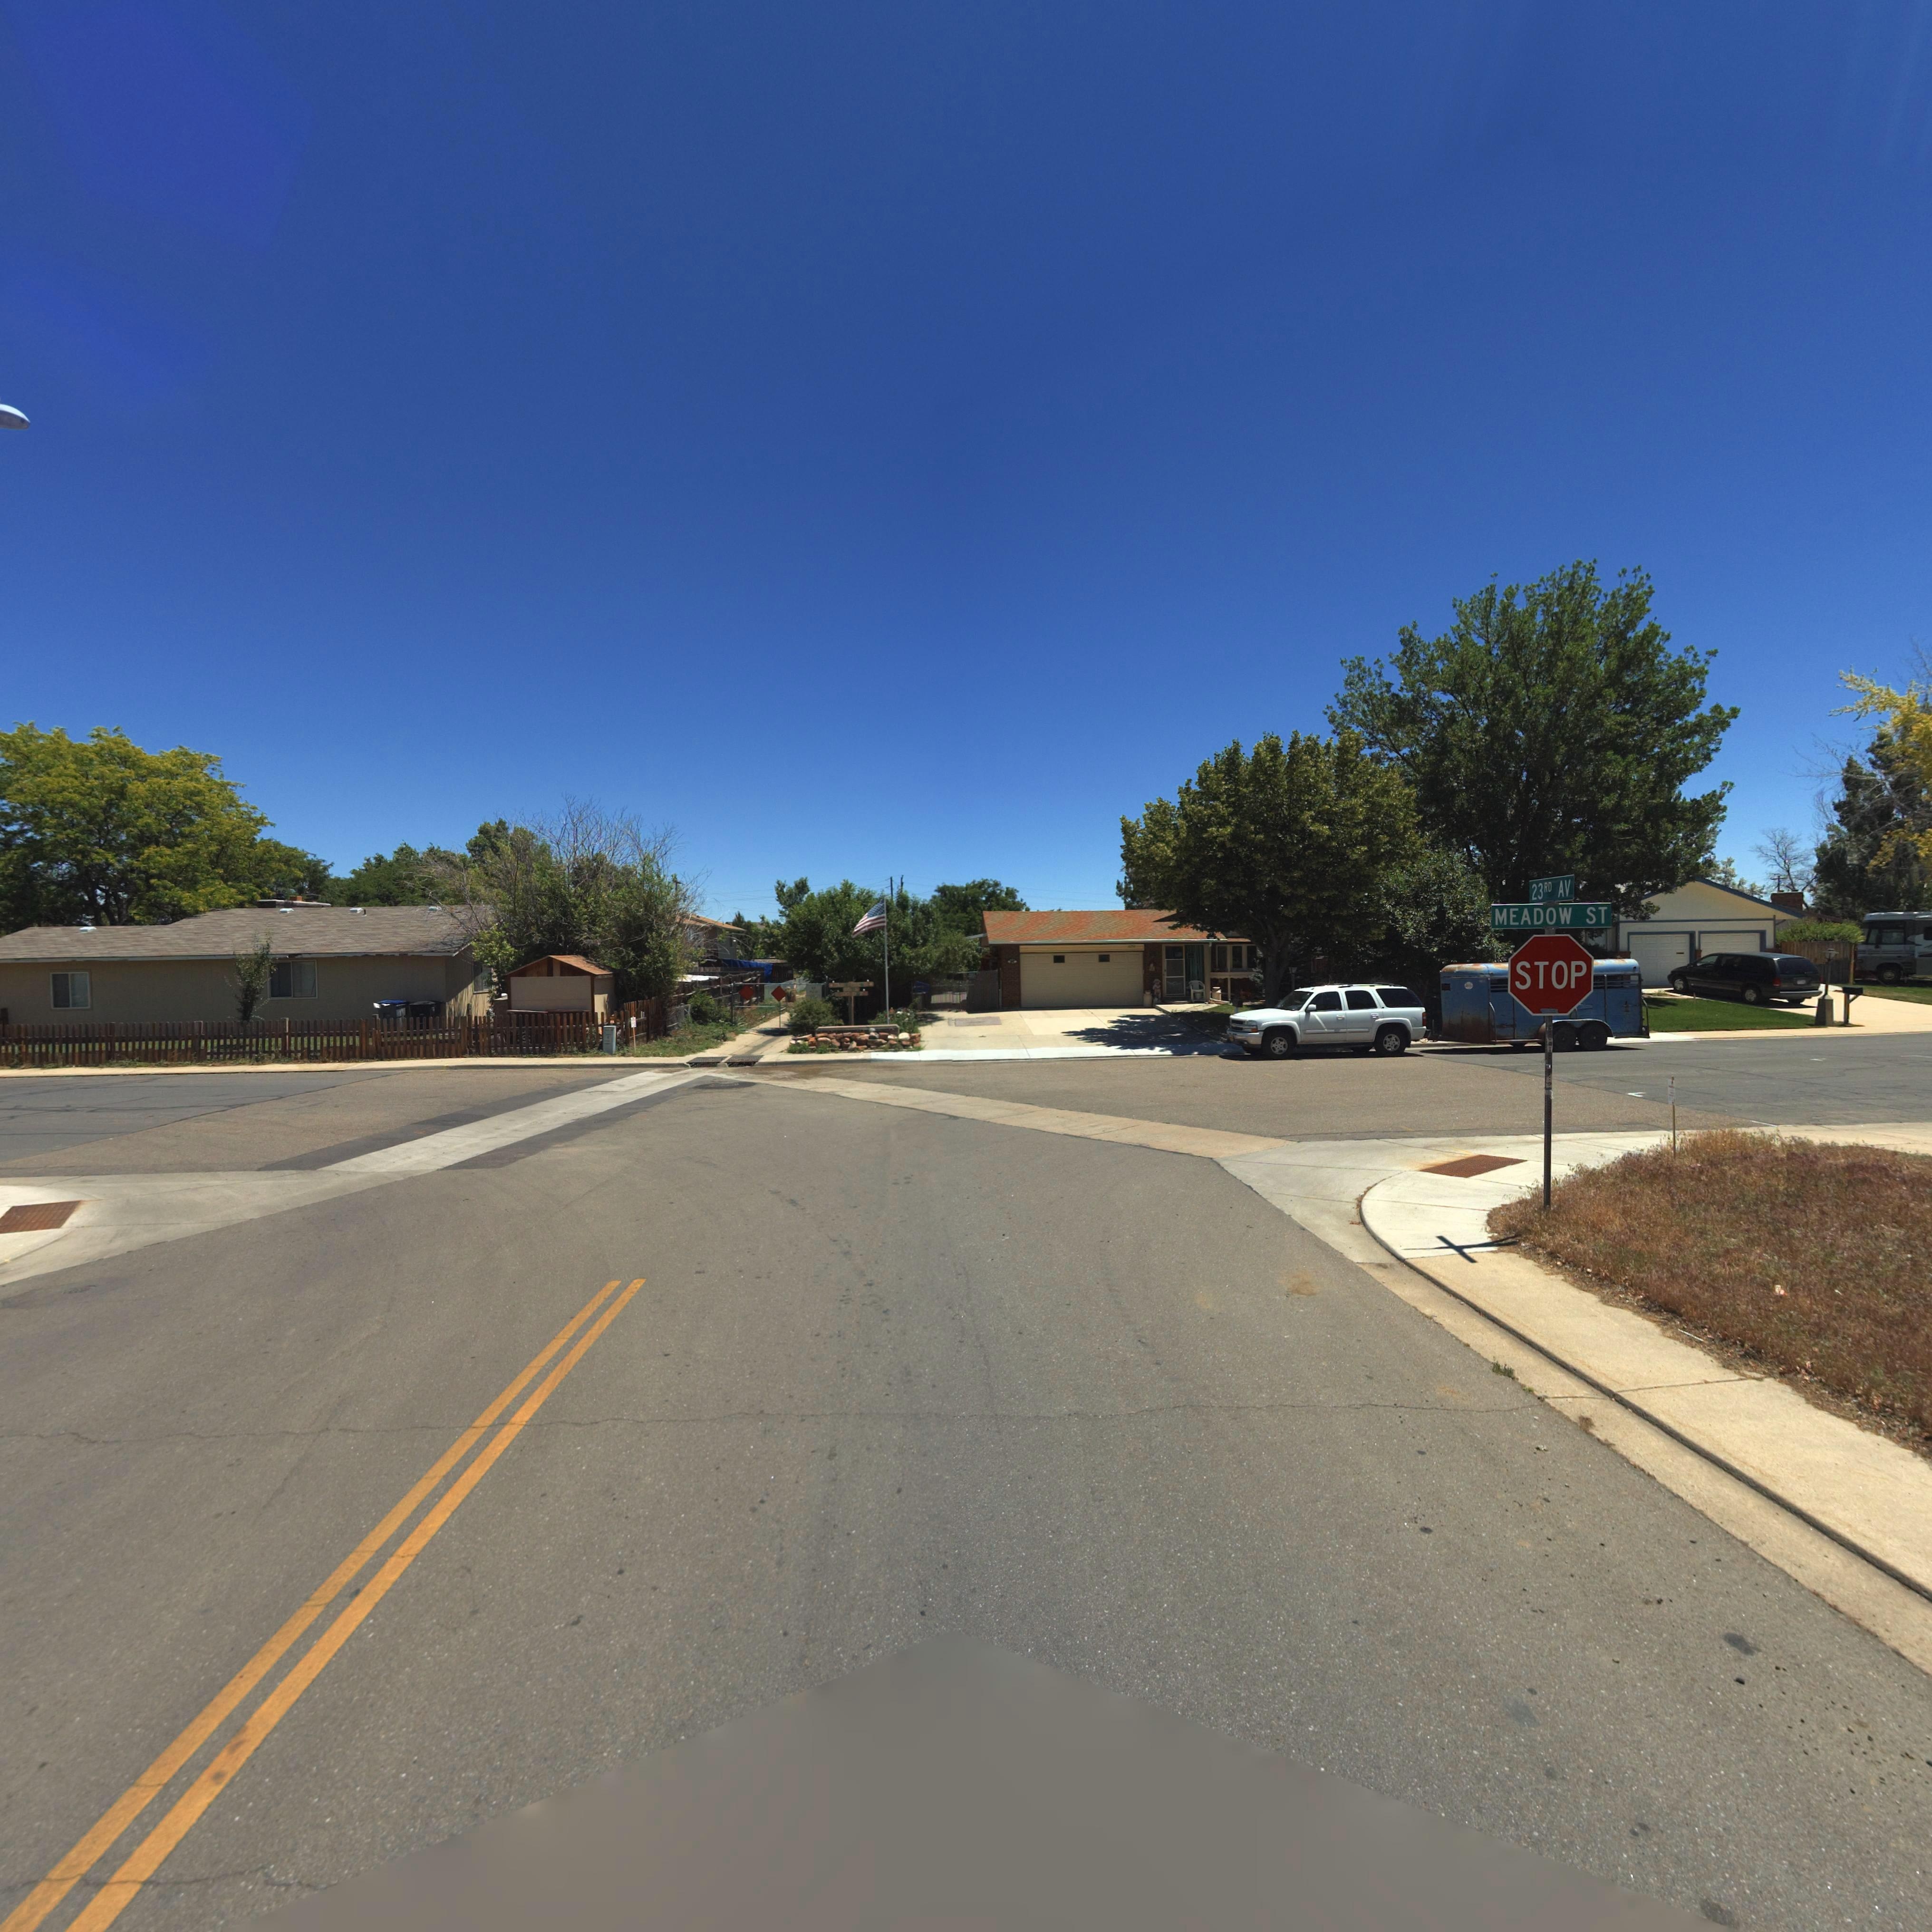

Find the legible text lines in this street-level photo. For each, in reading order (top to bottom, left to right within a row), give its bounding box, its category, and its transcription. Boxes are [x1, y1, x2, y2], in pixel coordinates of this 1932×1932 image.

[1531, 878, 1571, 901] StreetName: 23RD AV
[1494, 906, 1608, 926] StreetName: MEADOW ST
[1128, 944, 1136, 948] StreetNumber: 22*2